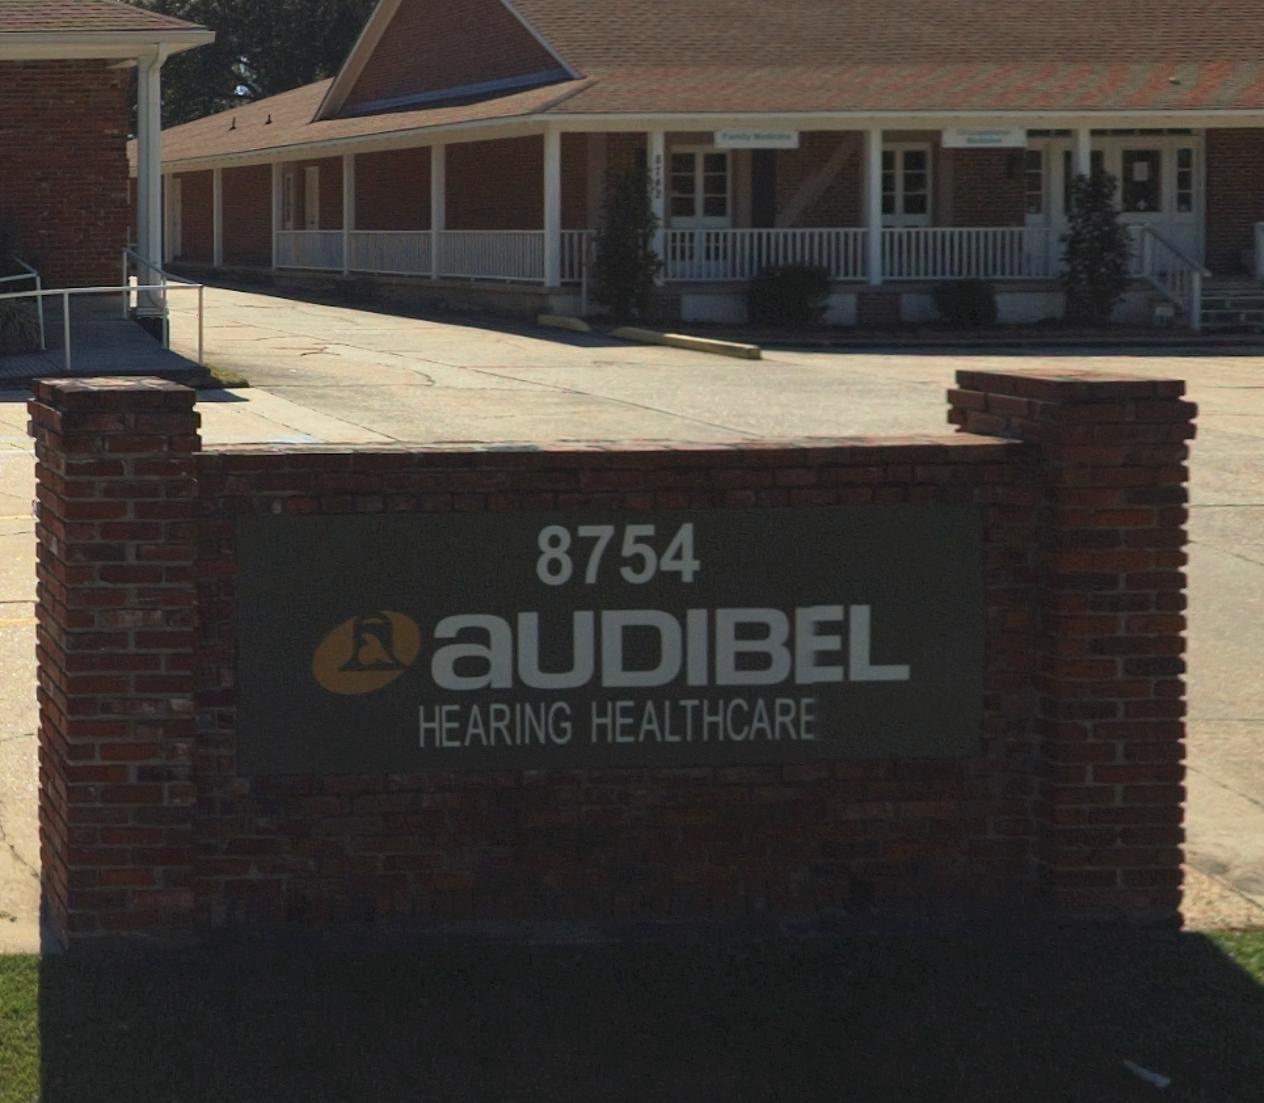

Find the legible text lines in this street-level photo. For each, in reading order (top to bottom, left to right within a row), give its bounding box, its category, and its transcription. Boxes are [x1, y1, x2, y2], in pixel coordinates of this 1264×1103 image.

[529, 518, 706, 591] StreetNumber: 8754
[424, 596, 917, 694] BusinessName: aUDIBEL
[415, 692, 822, 751] None: HEARING HEALTHCARE